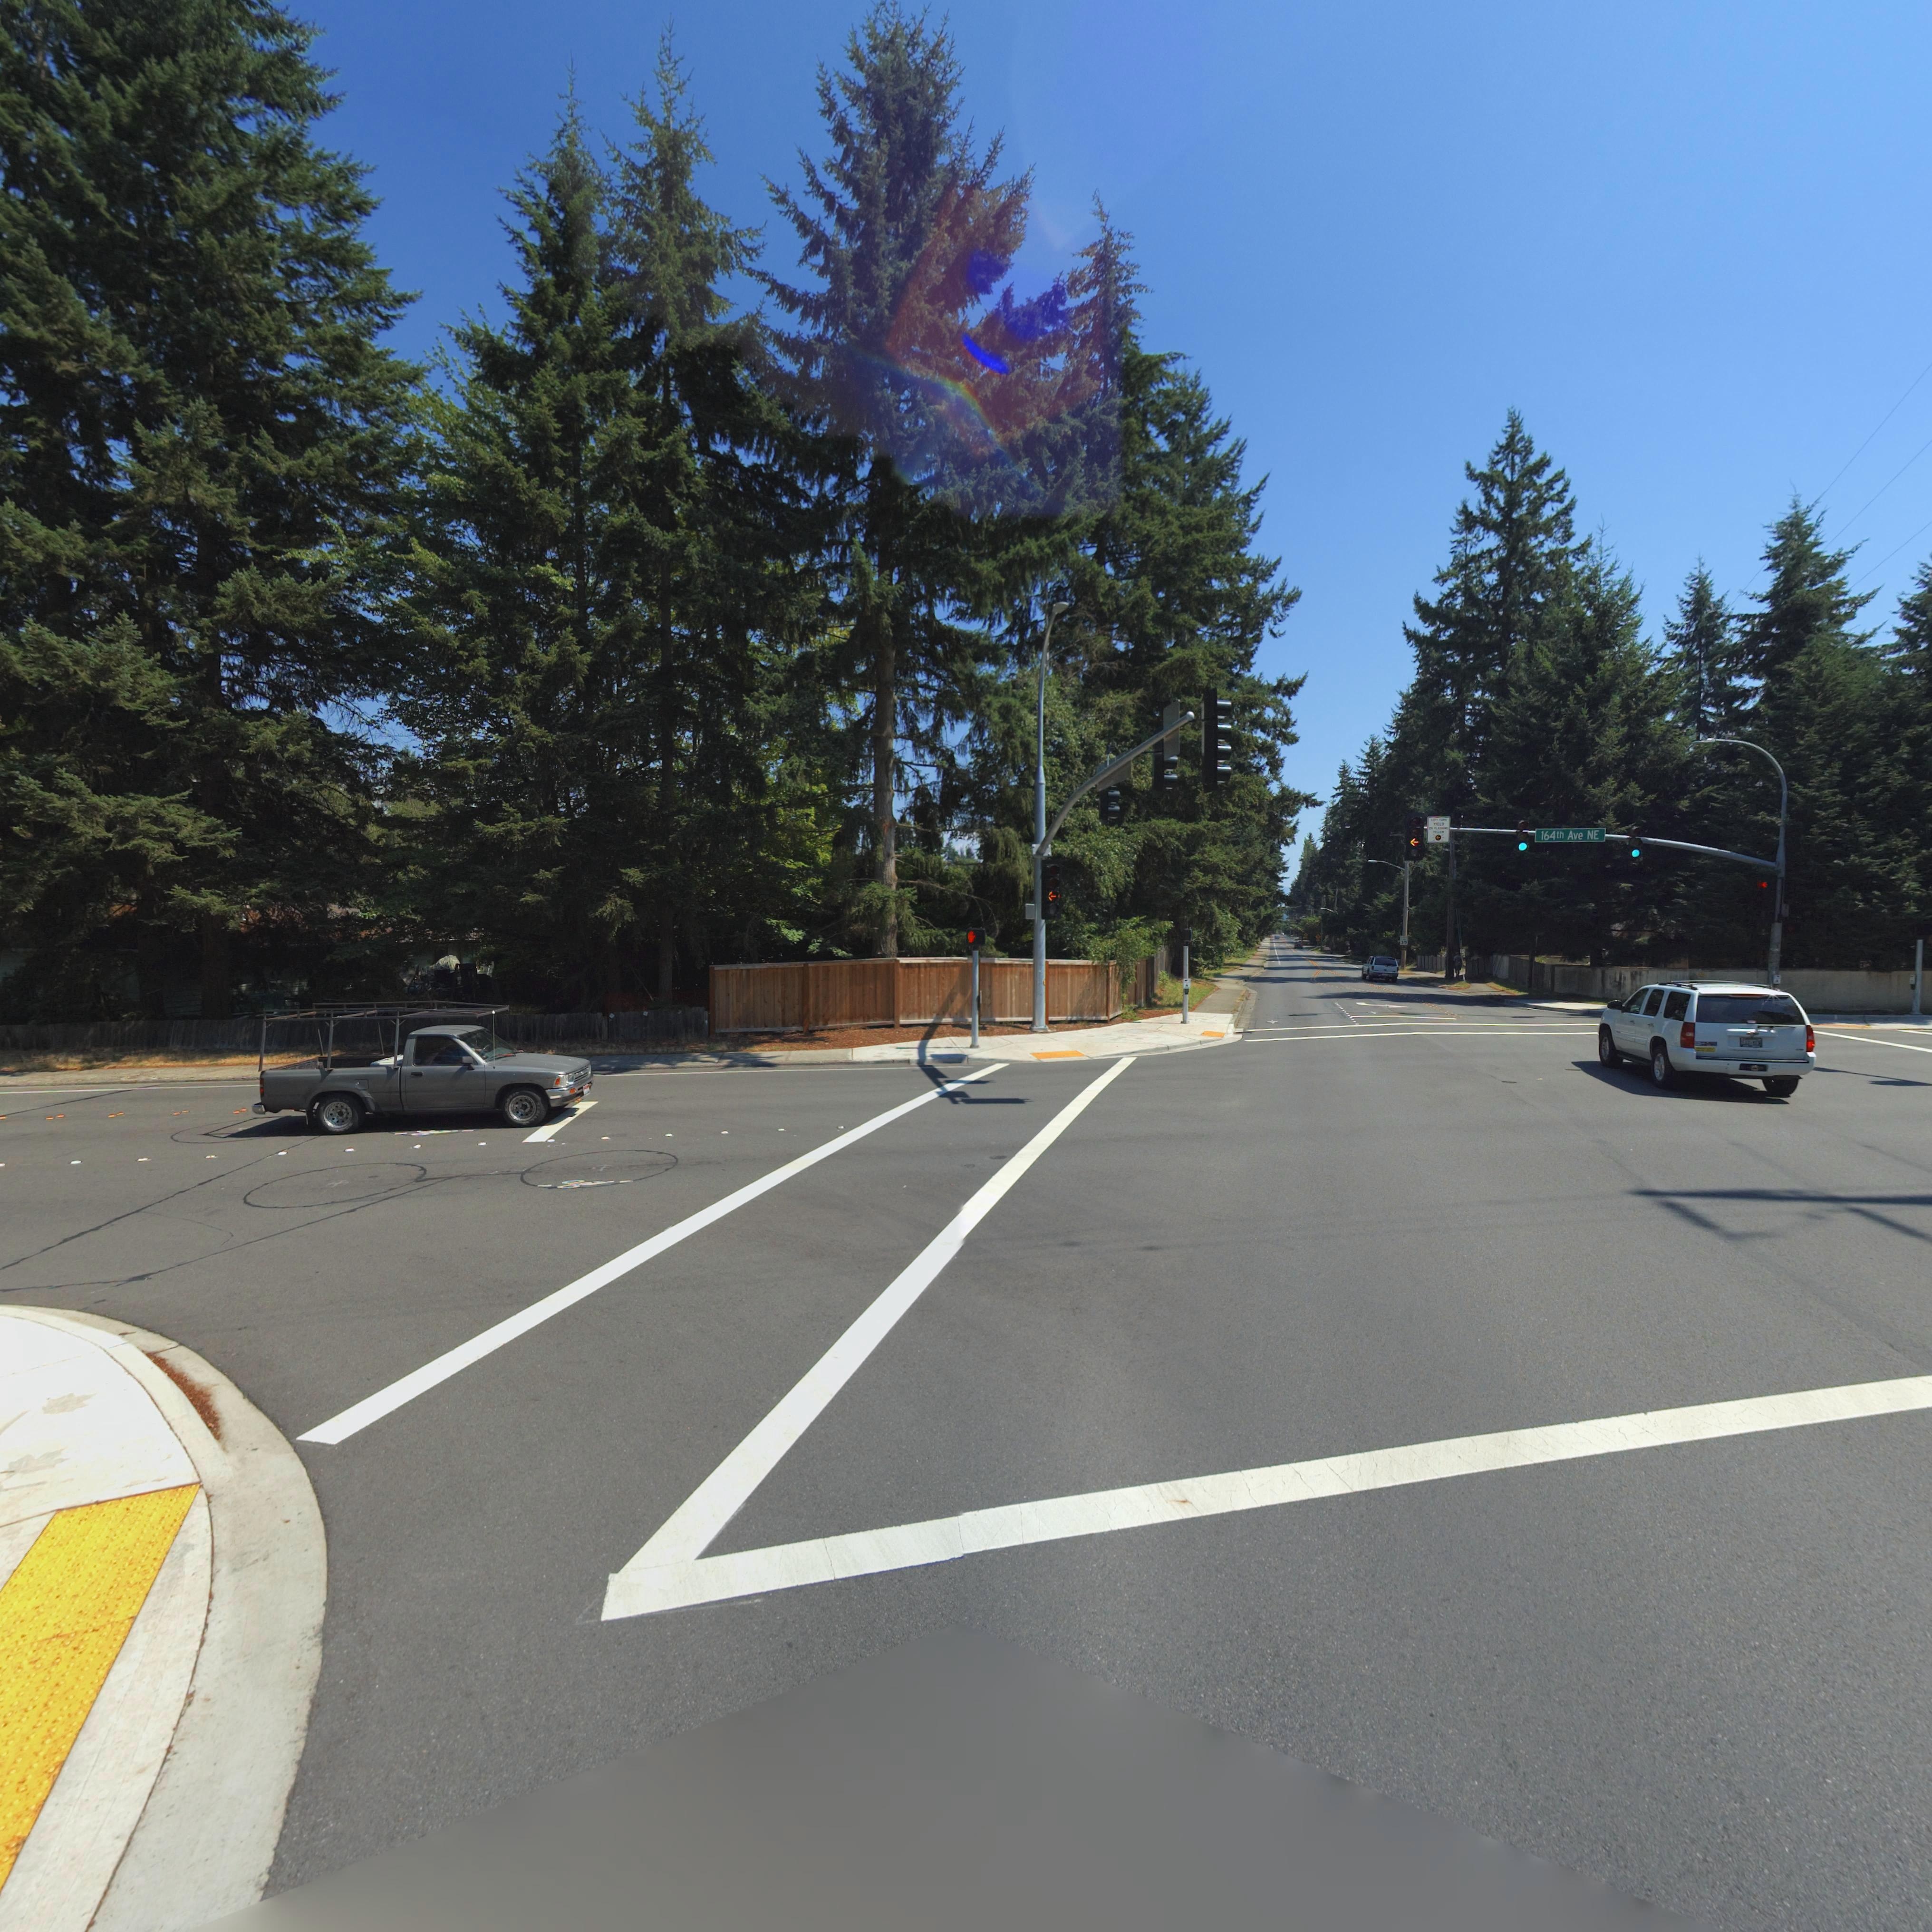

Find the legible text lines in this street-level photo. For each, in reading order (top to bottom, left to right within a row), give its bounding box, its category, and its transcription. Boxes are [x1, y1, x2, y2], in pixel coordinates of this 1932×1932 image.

[1541, 830, 1598, 840] StreetName: 164th Ave NE